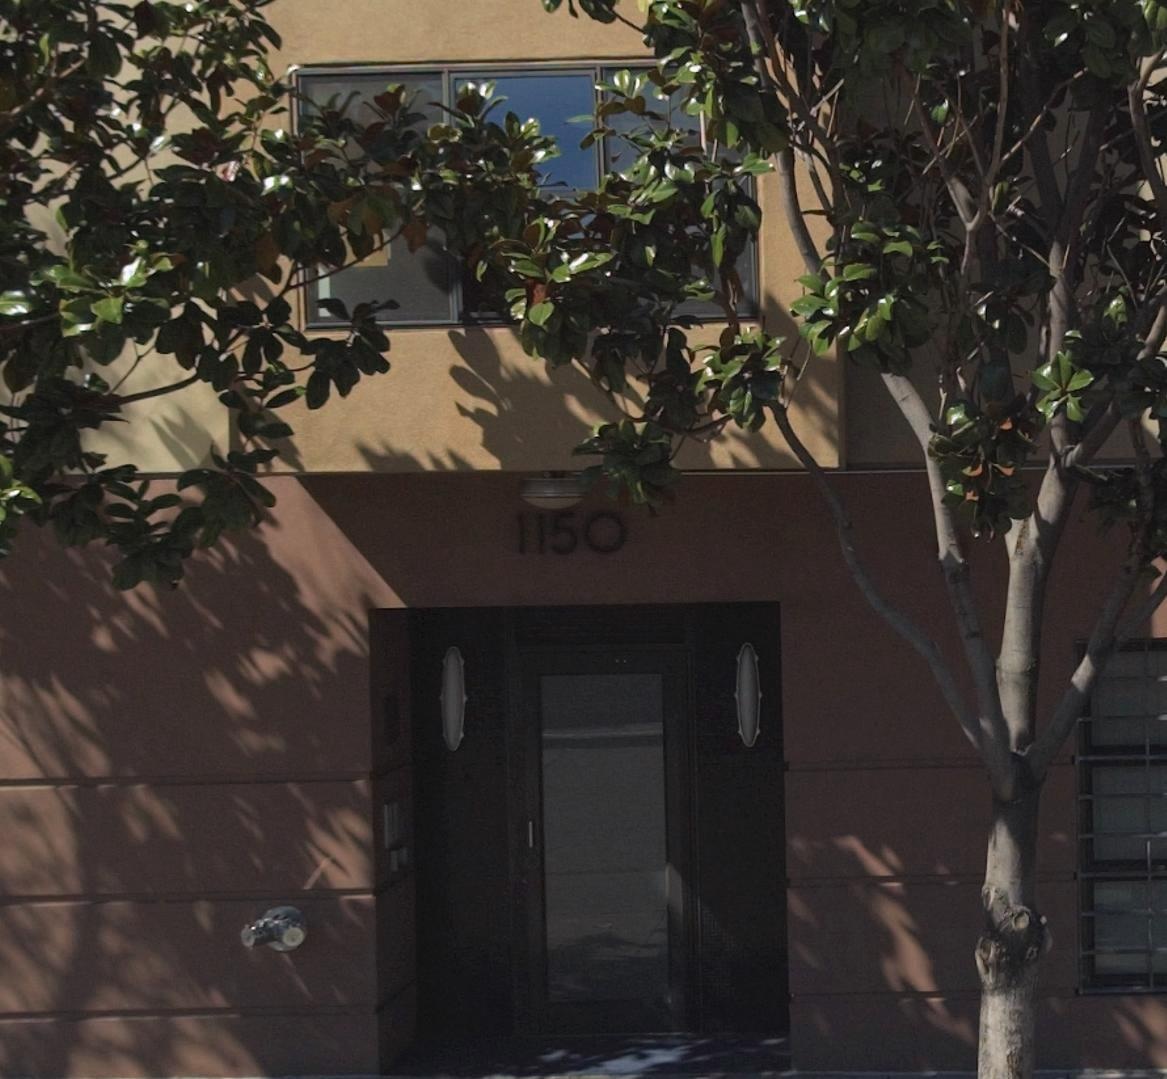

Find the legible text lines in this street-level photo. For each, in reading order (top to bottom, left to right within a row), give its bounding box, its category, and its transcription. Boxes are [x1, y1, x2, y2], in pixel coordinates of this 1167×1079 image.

[510, 505, 633, 560] StreetNumber: 1150